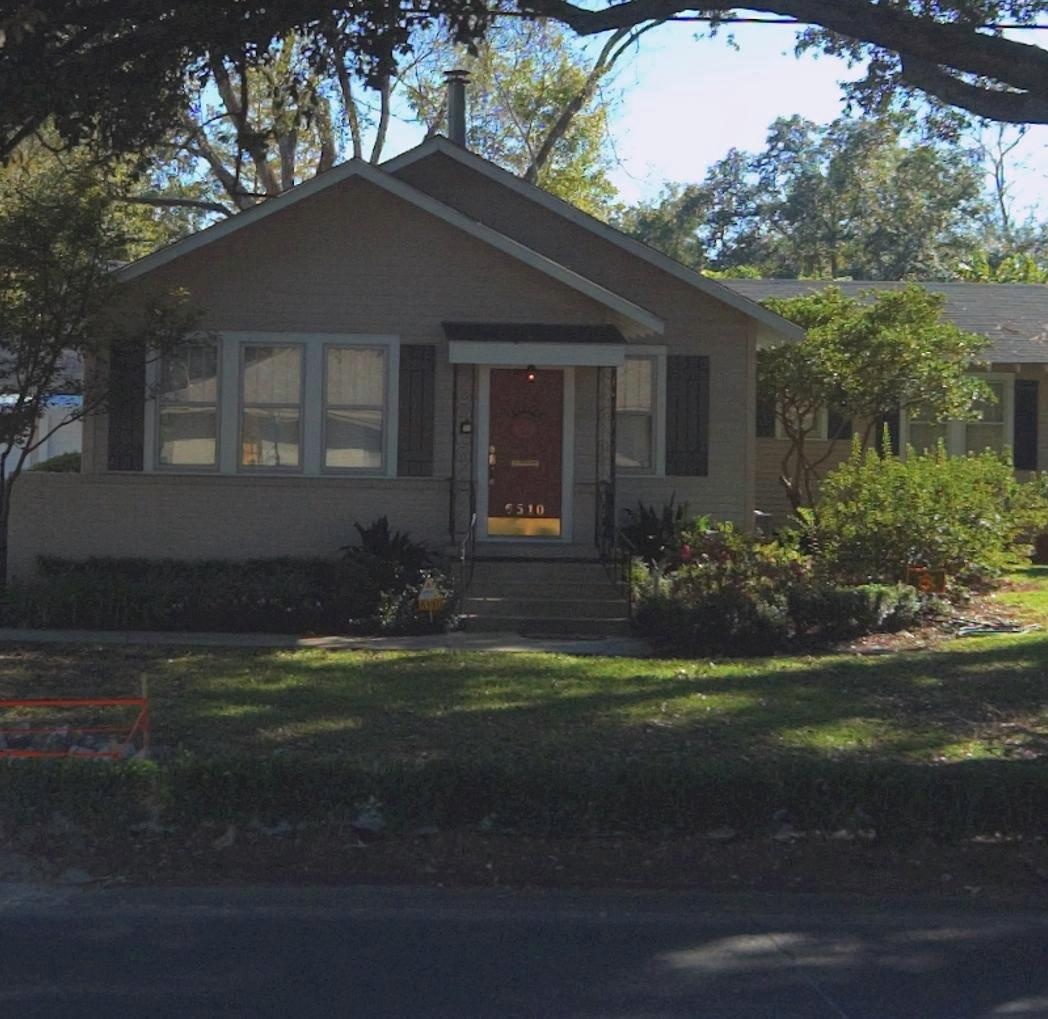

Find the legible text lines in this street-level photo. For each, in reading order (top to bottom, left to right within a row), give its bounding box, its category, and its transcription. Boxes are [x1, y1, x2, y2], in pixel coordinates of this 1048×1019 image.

[504, 502, 546, 517] StreetNumber: 6510